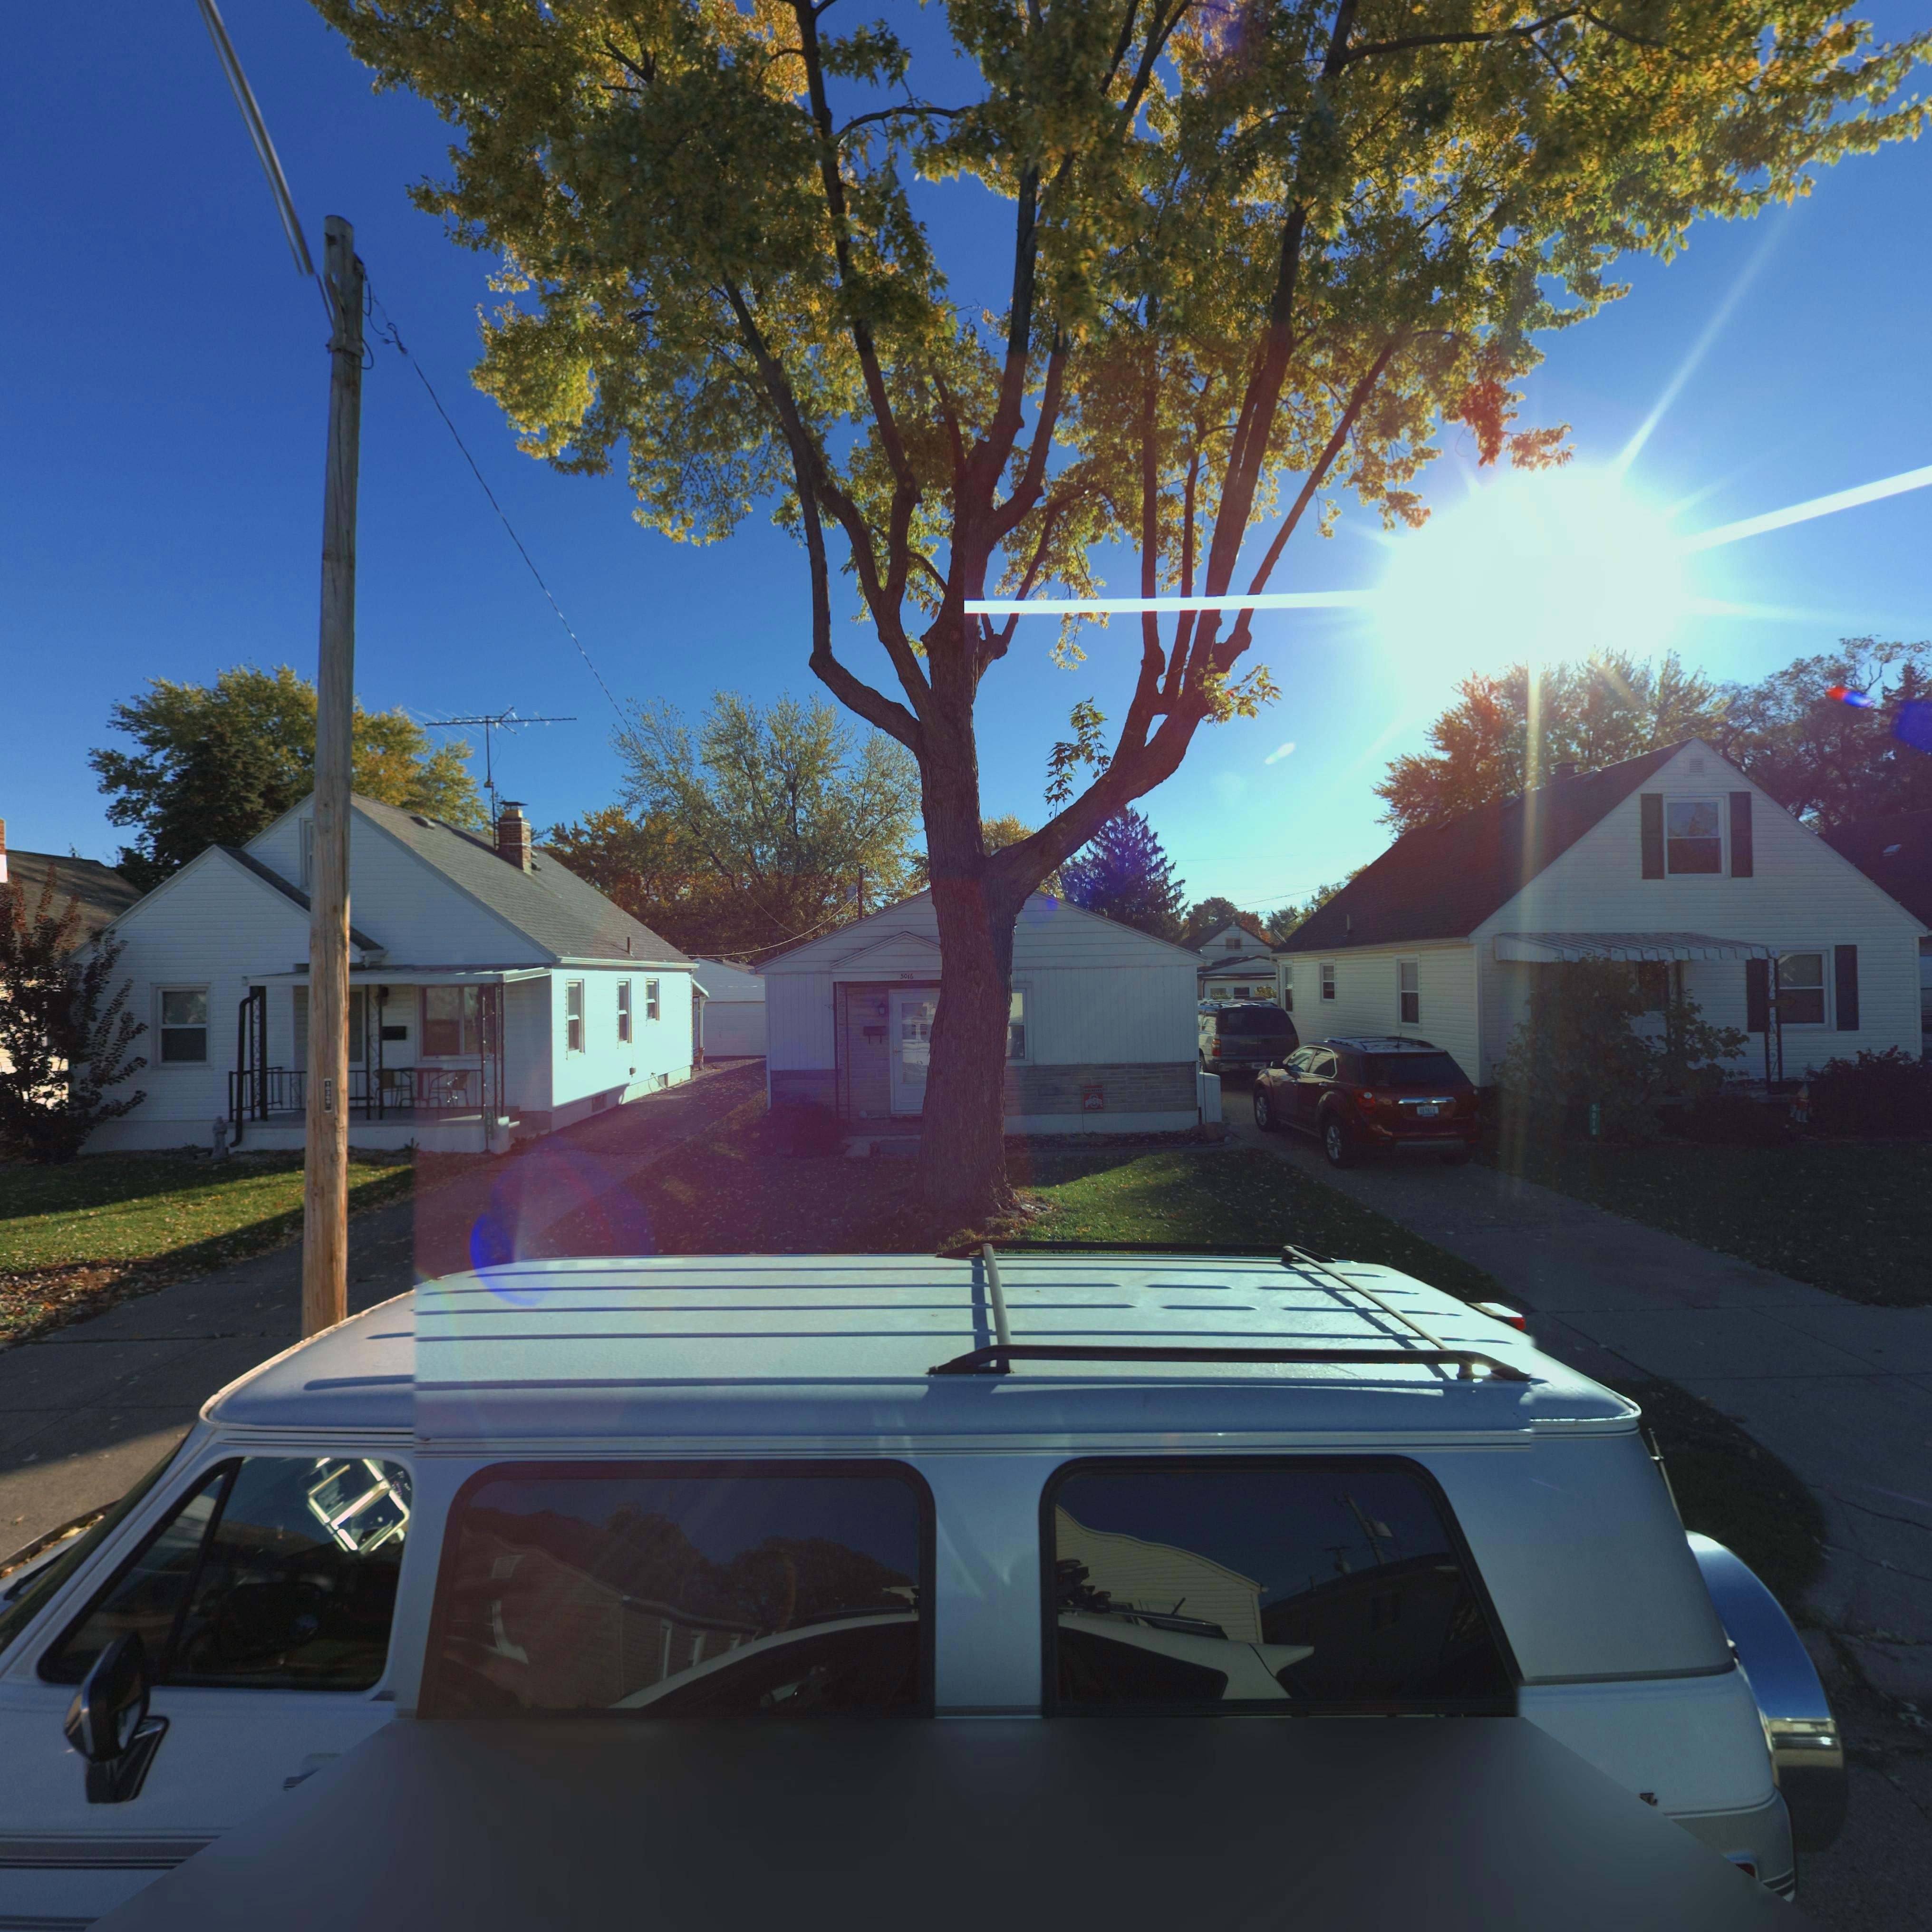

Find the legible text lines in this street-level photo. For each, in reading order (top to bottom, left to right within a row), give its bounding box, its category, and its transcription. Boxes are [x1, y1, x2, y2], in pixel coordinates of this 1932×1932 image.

[899, 973, 914, 980] StreetNumber: 5016
[486, 1111, 493, 1140] StreetNumber: 5012
[1591, 1104, 1597, 1136] StreetNumber: 5018